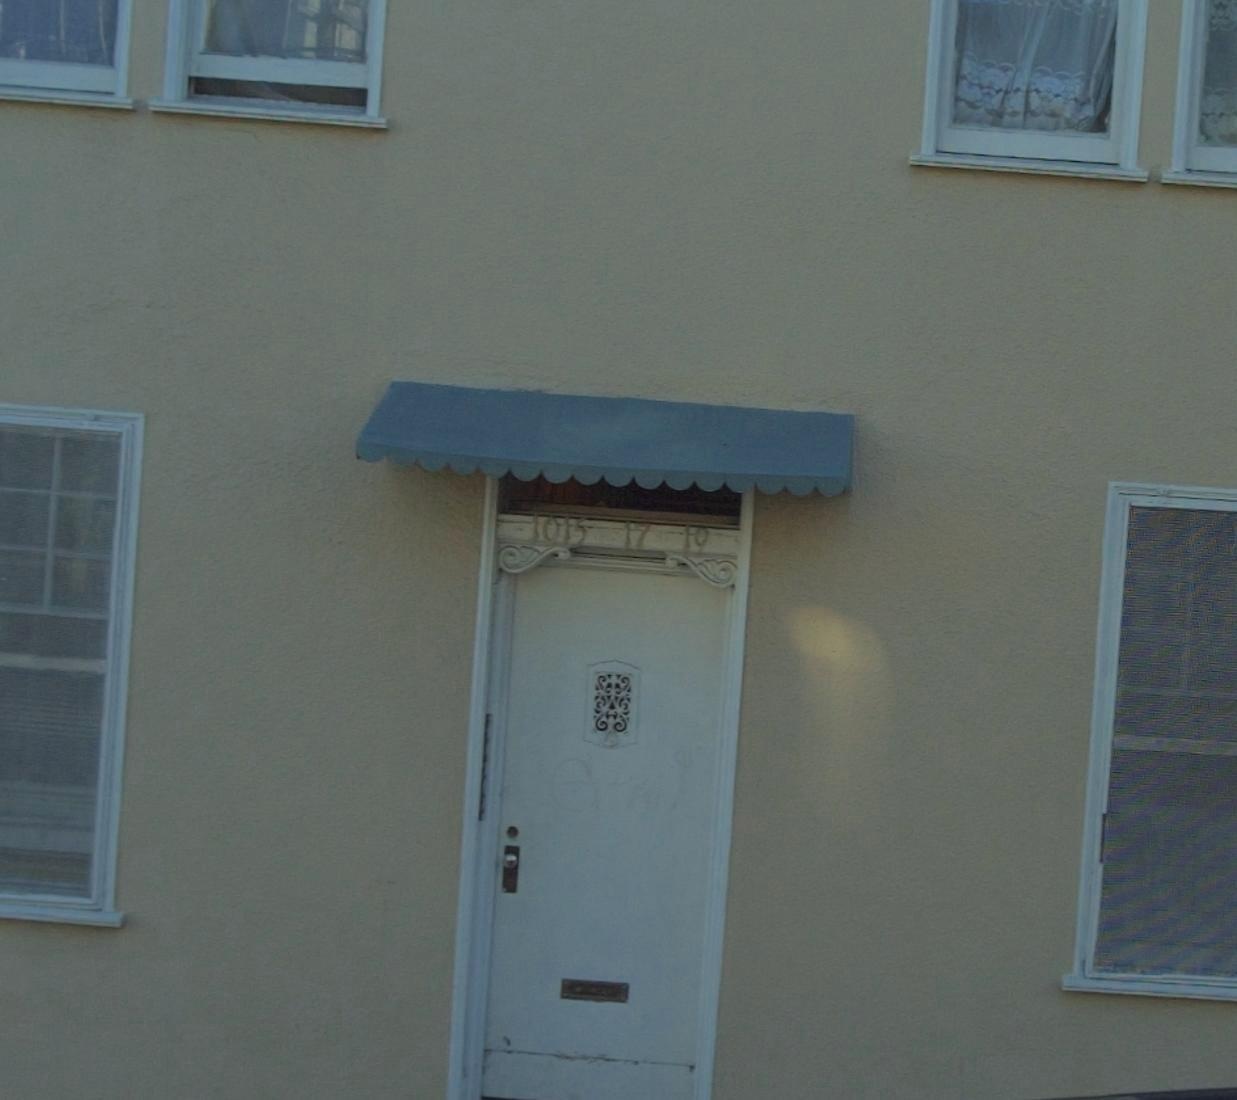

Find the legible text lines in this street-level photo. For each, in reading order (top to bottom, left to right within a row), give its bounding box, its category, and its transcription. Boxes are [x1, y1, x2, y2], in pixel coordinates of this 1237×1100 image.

[530, 511, 712, 558] StreetNumber: 1015 17 19